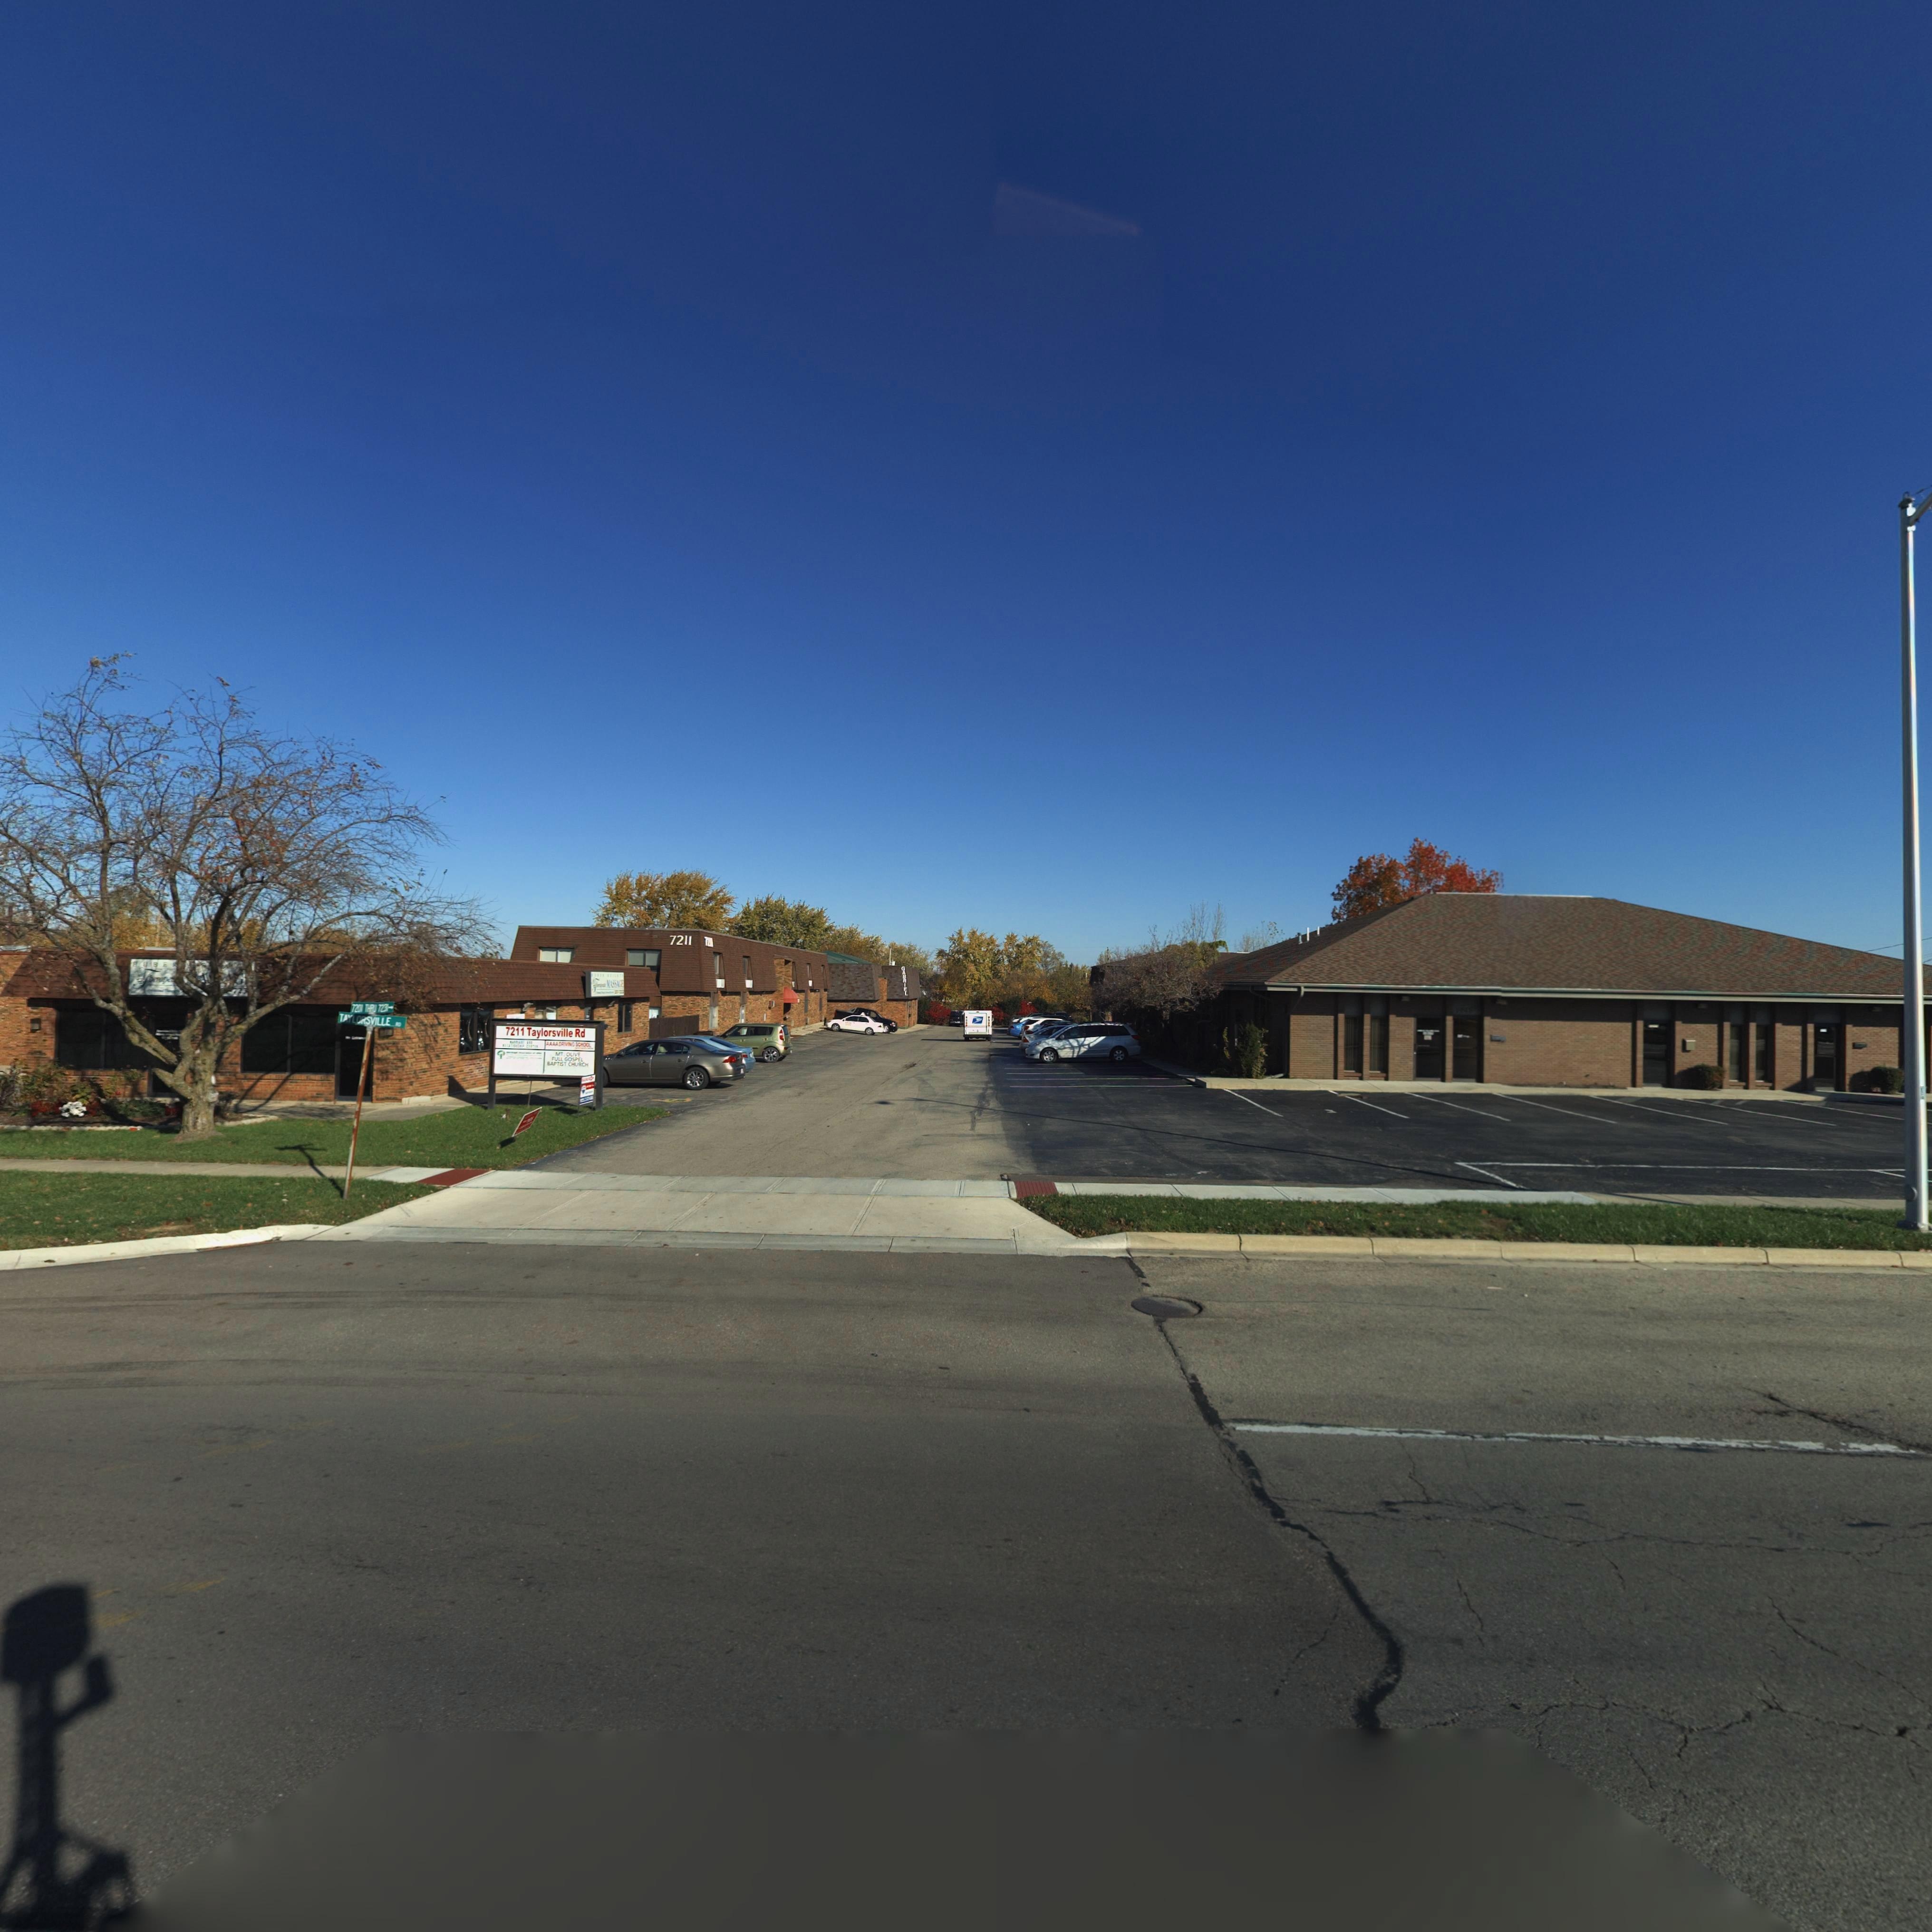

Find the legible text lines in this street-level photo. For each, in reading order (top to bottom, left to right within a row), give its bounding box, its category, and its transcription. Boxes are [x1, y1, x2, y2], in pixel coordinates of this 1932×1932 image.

[669, 934, 693, 947] StreetNumber: 7211
[606, 979, 624, 988] BusinessName: MASSAGE
[338, 1013, 393, 1027] StreetName: TAYLORSVILLE
[505, 1026, 525, 1037] StreetNumber: 7211
[526, 1027, 586, 1039] StreetName: Taylorsville Rd
[551, 1056, 584, 1062] None: FULL GOSPEL
[555, 1051, 581, 1057] None: MT. OLIVE
[547, 1061, 589, 1067] None: BAPTIST CHURCH